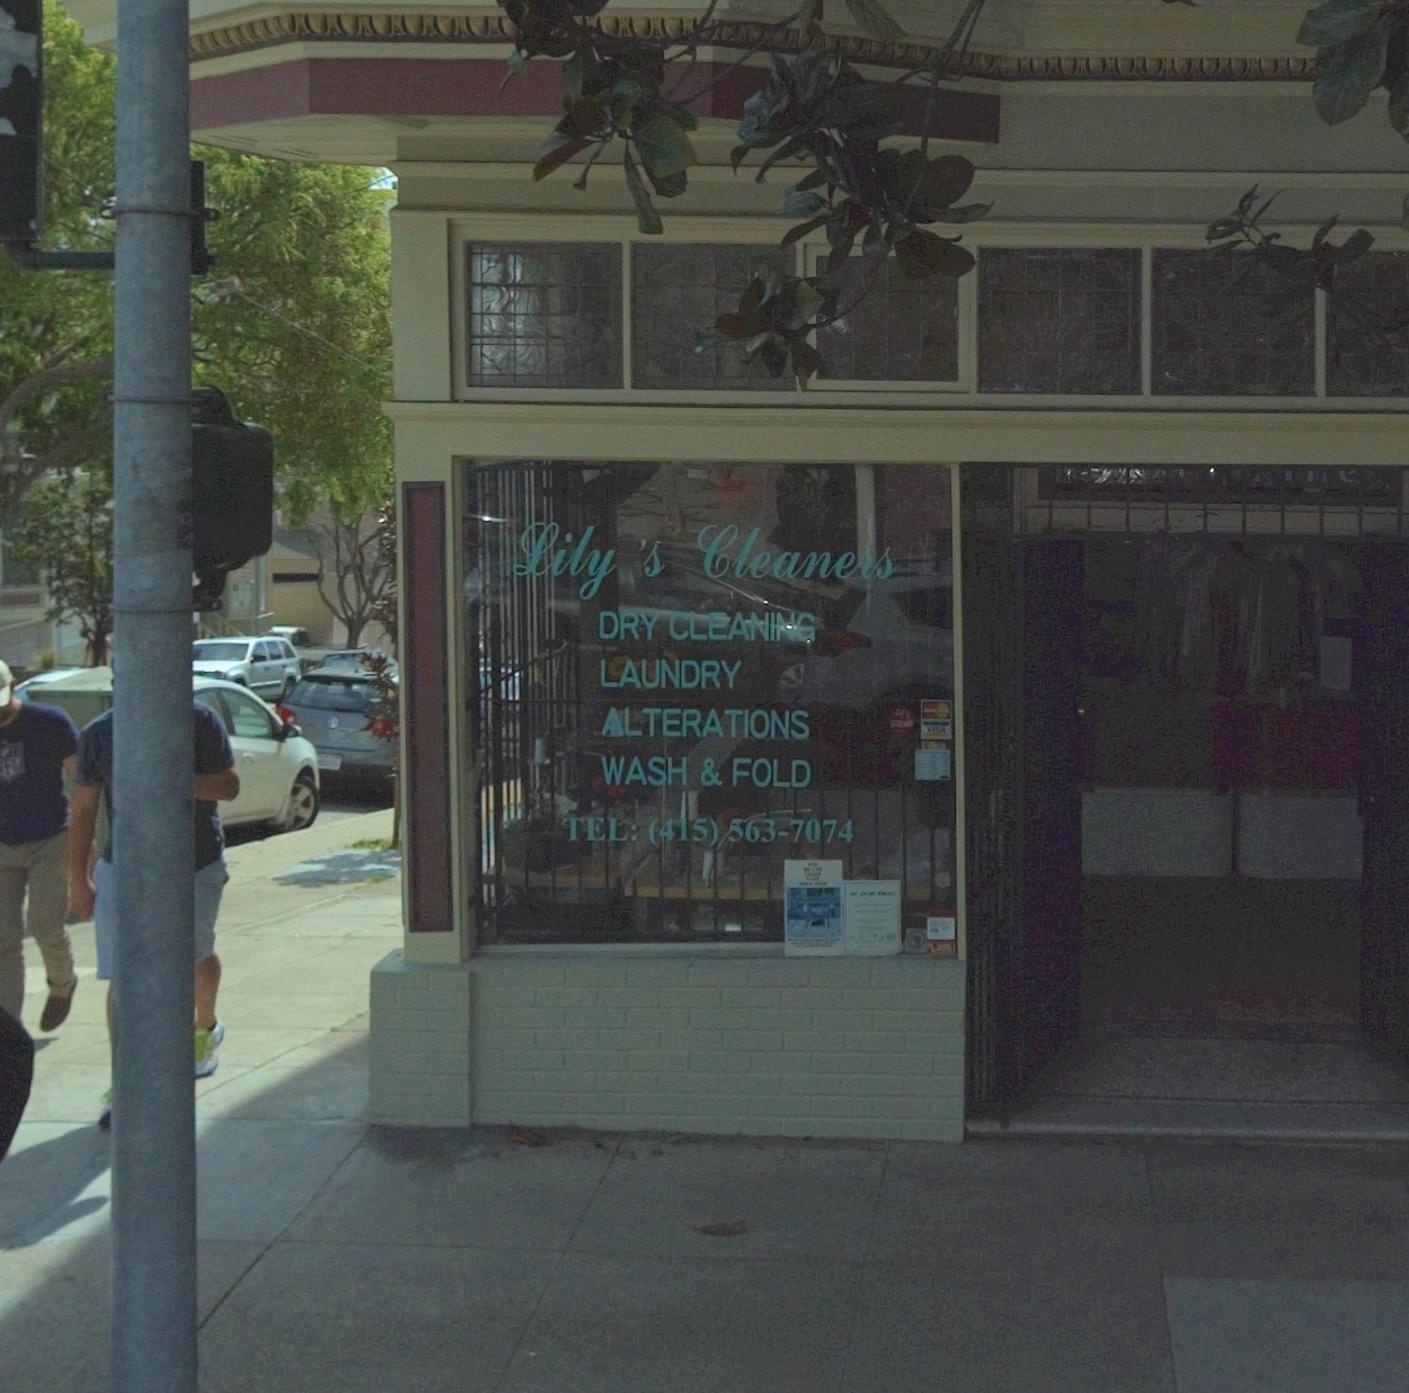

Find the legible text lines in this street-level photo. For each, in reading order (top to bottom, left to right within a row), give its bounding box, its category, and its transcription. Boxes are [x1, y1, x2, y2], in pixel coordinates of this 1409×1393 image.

[510, 519, 898, 600] BusinessName: Lily's Cleaners
[595, 607, 820, 646] None: DRY CLEANING
[595, 657, 747, 691] None: LAUNDRY
[593, 705, 812, 743] None: ALTERATIONS
[597, 754, 813, 790] None: WASH & FOLD
[557, 815, 856, 847] None: TELl (415)563-7074